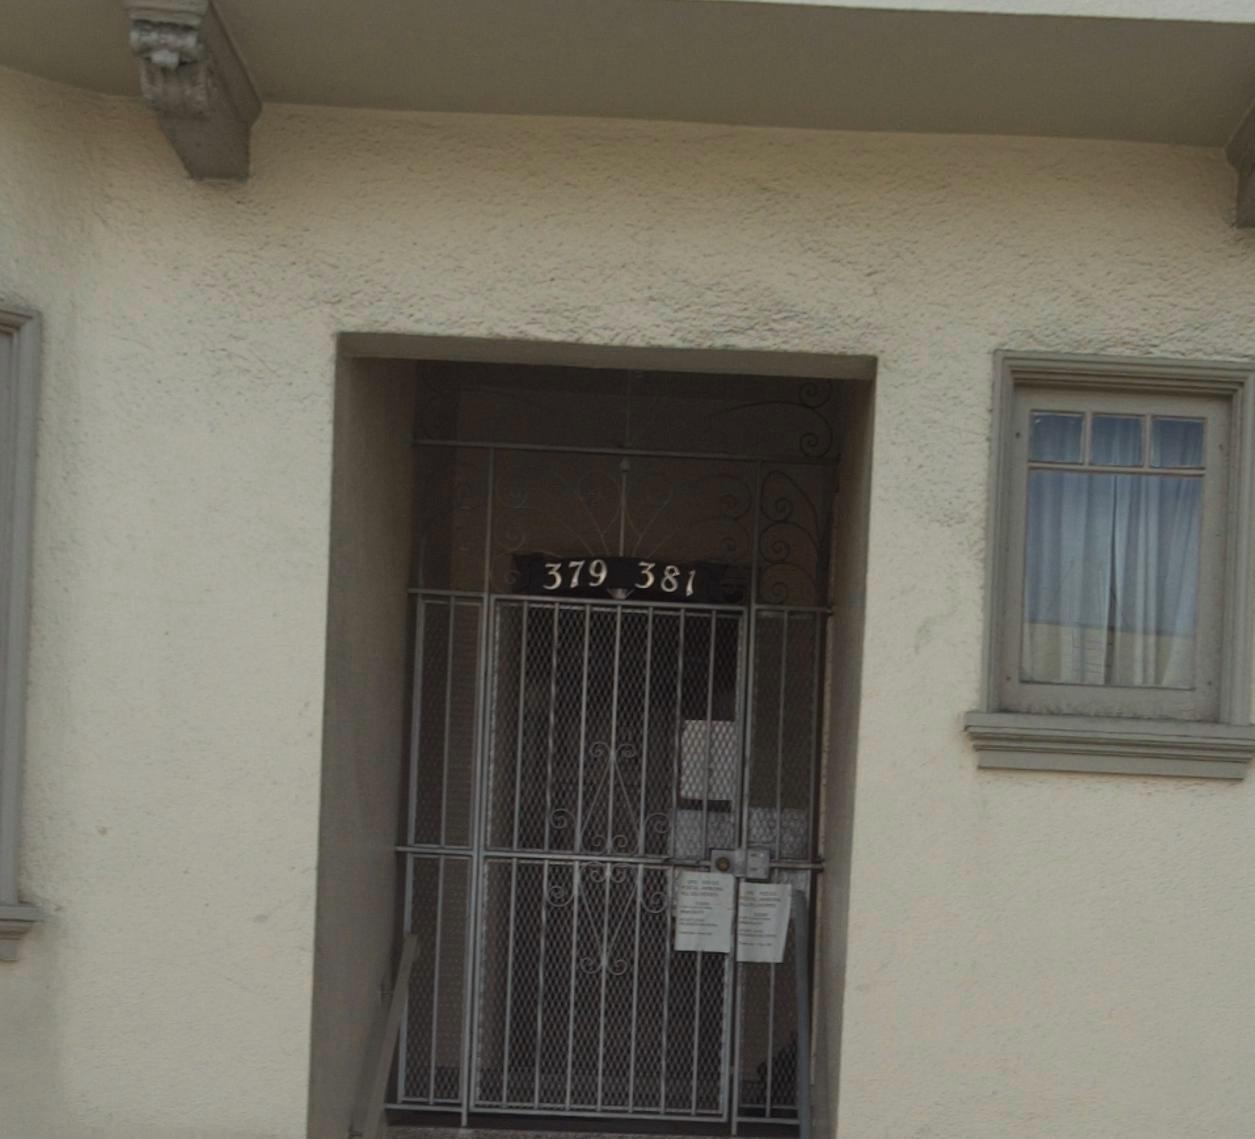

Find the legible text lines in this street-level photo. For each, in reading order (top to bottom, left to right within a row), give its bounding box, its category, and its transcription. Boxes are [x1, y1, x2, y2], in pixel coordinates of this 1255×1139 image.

[541, 557, 610, 592] StreetNumber: 379
[631, 558, 698, 600] StreetNumber: 381